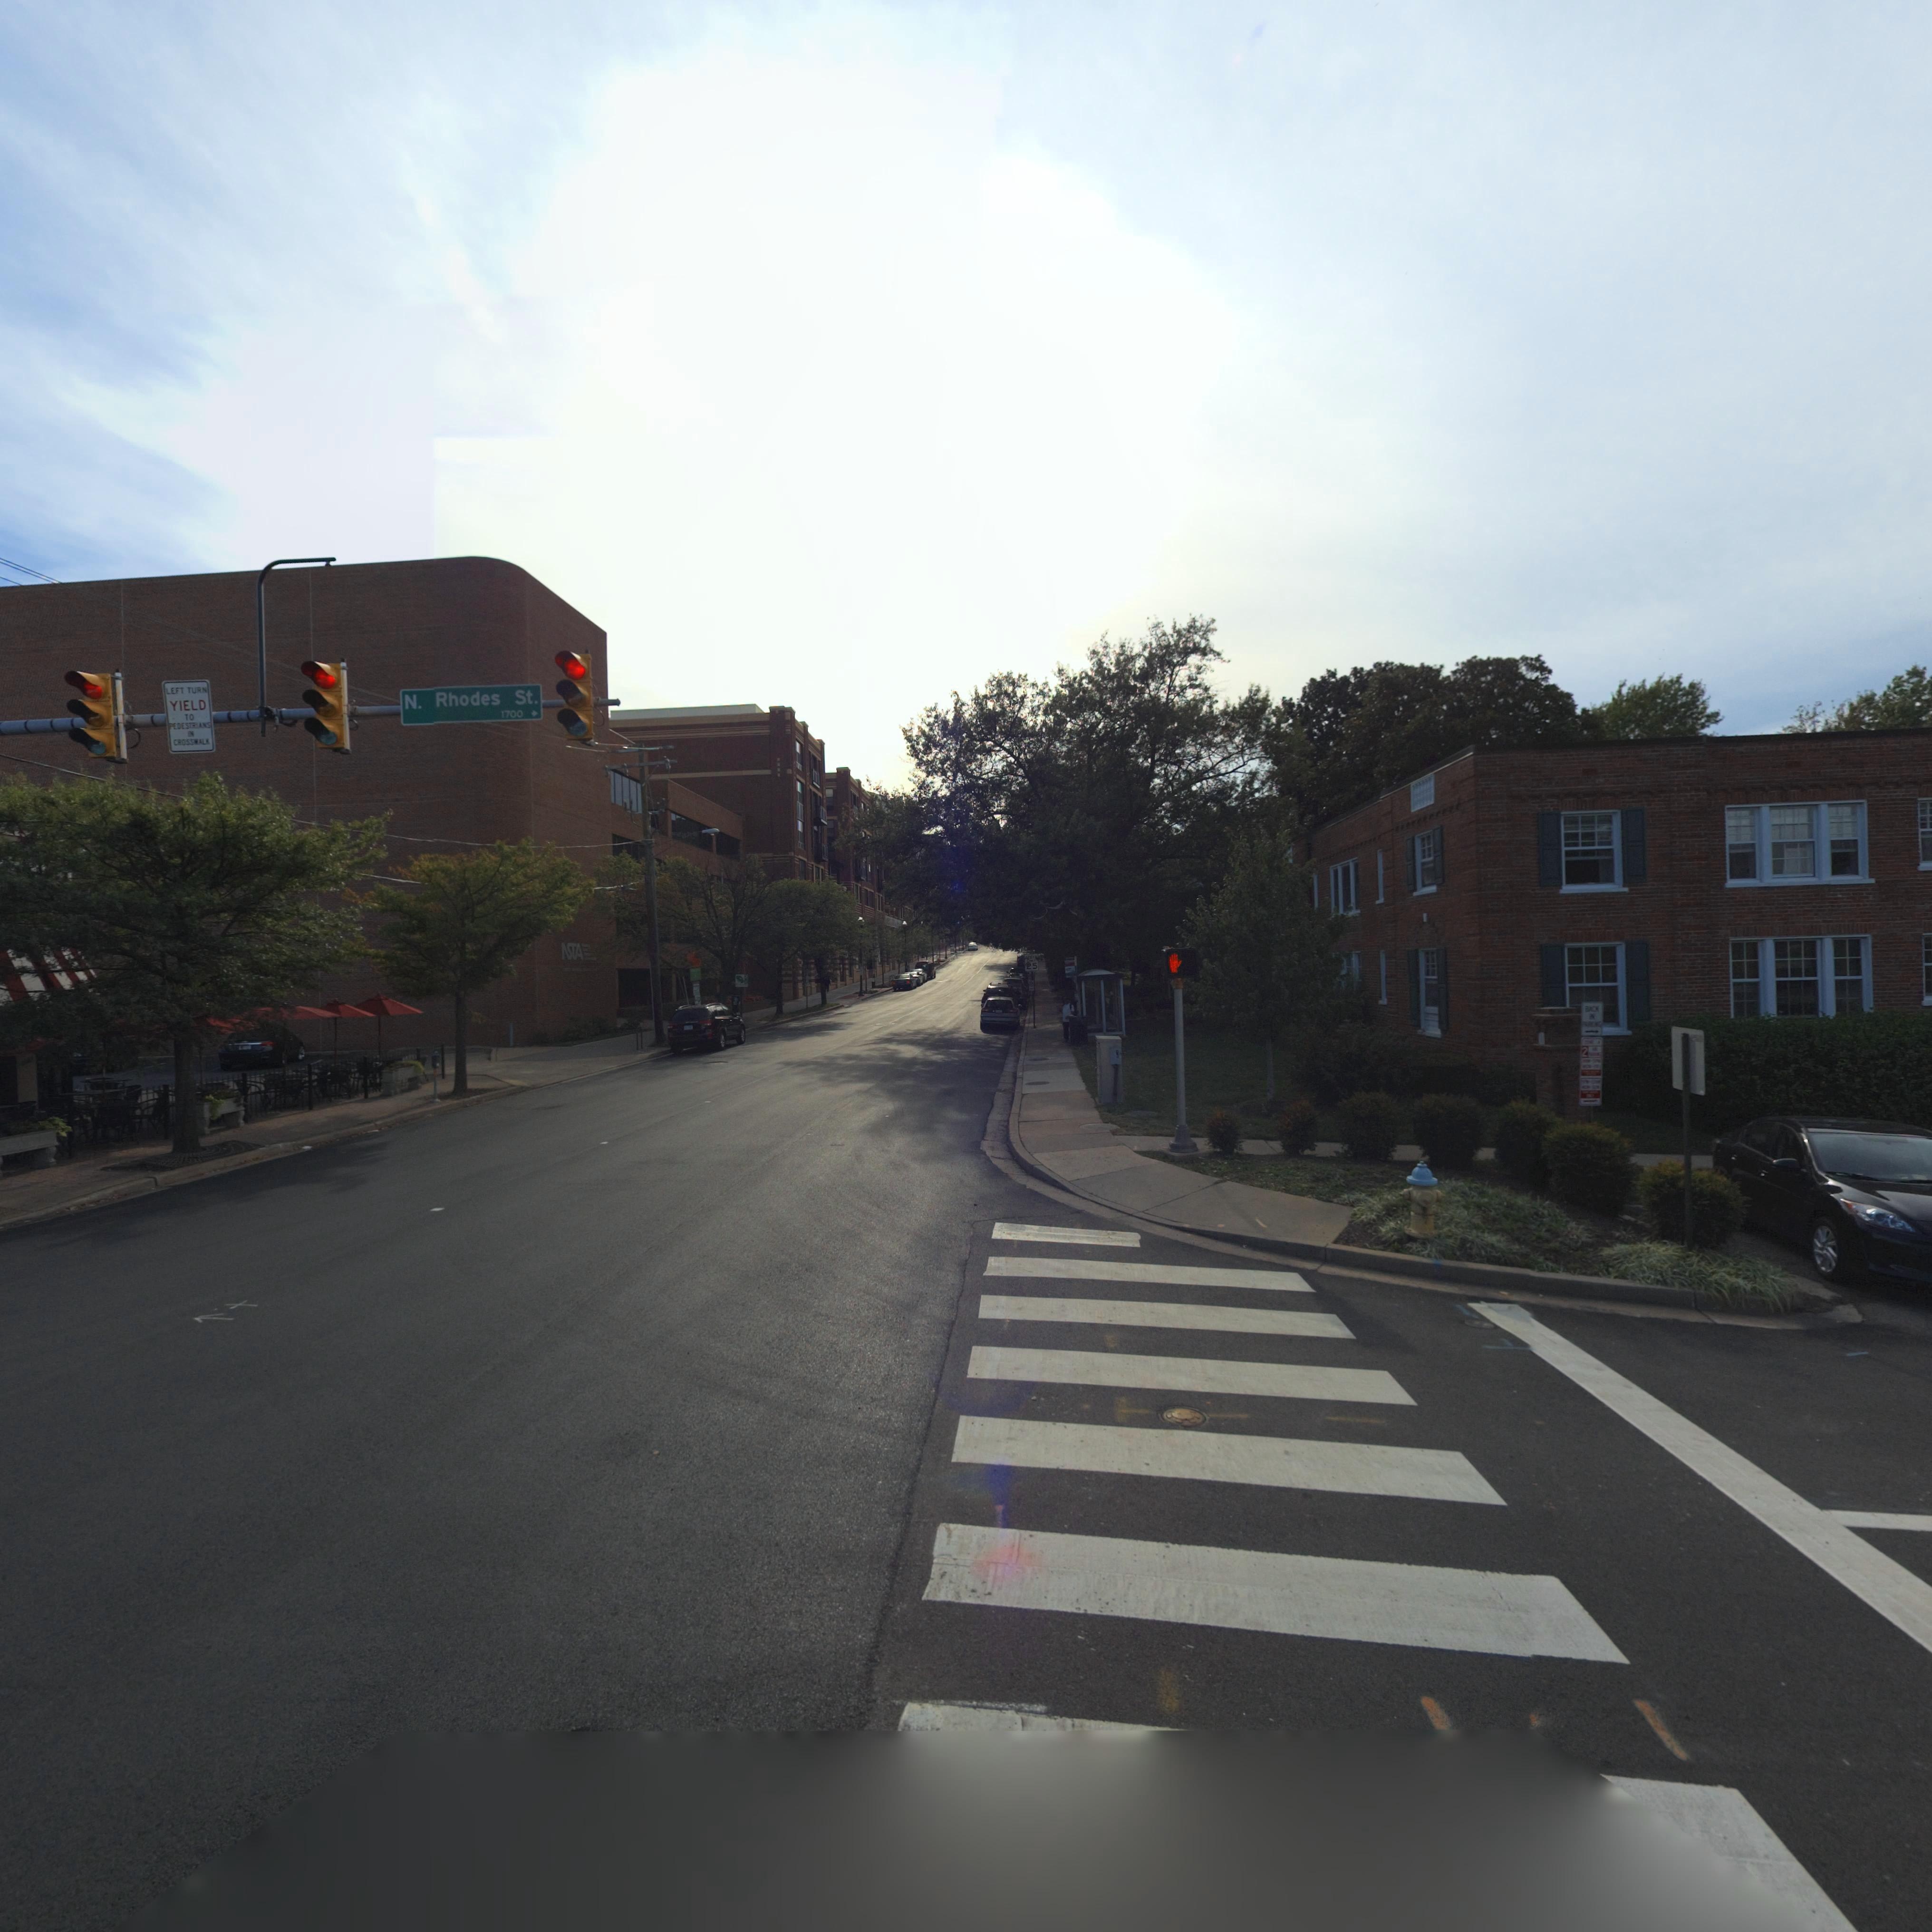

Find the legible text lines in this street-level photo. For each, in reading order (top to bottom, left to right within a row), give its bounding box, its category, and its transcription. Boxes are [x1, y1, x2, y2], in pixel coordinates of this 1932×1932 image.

[164, 686, 207, 695] None: LEFT TURN
[403, 689, 538, 710] StreetName: N. Rhodes St.
[168, 699, 206, 712] None: YIELD
[184, 713, 194, 721] None: TO
[500, 709, 540, 719] StreetNumberRange: 1700->
[168, 722, 211, 730] None: PEDESTRIANS
[187, 730, 194, 738] None: IN
[173, 738, 210, 746] None: CROSSWALK
[560, 942, 584, 960] BusinessName: *STA
[1026, 962, 1037, 970] None: *5
[1584, 1005, 1600, 1013] None: BACK
[1588, 1013, 1595, 1020] None: IN
[1581, 1047, 1589, 1057] None: 2